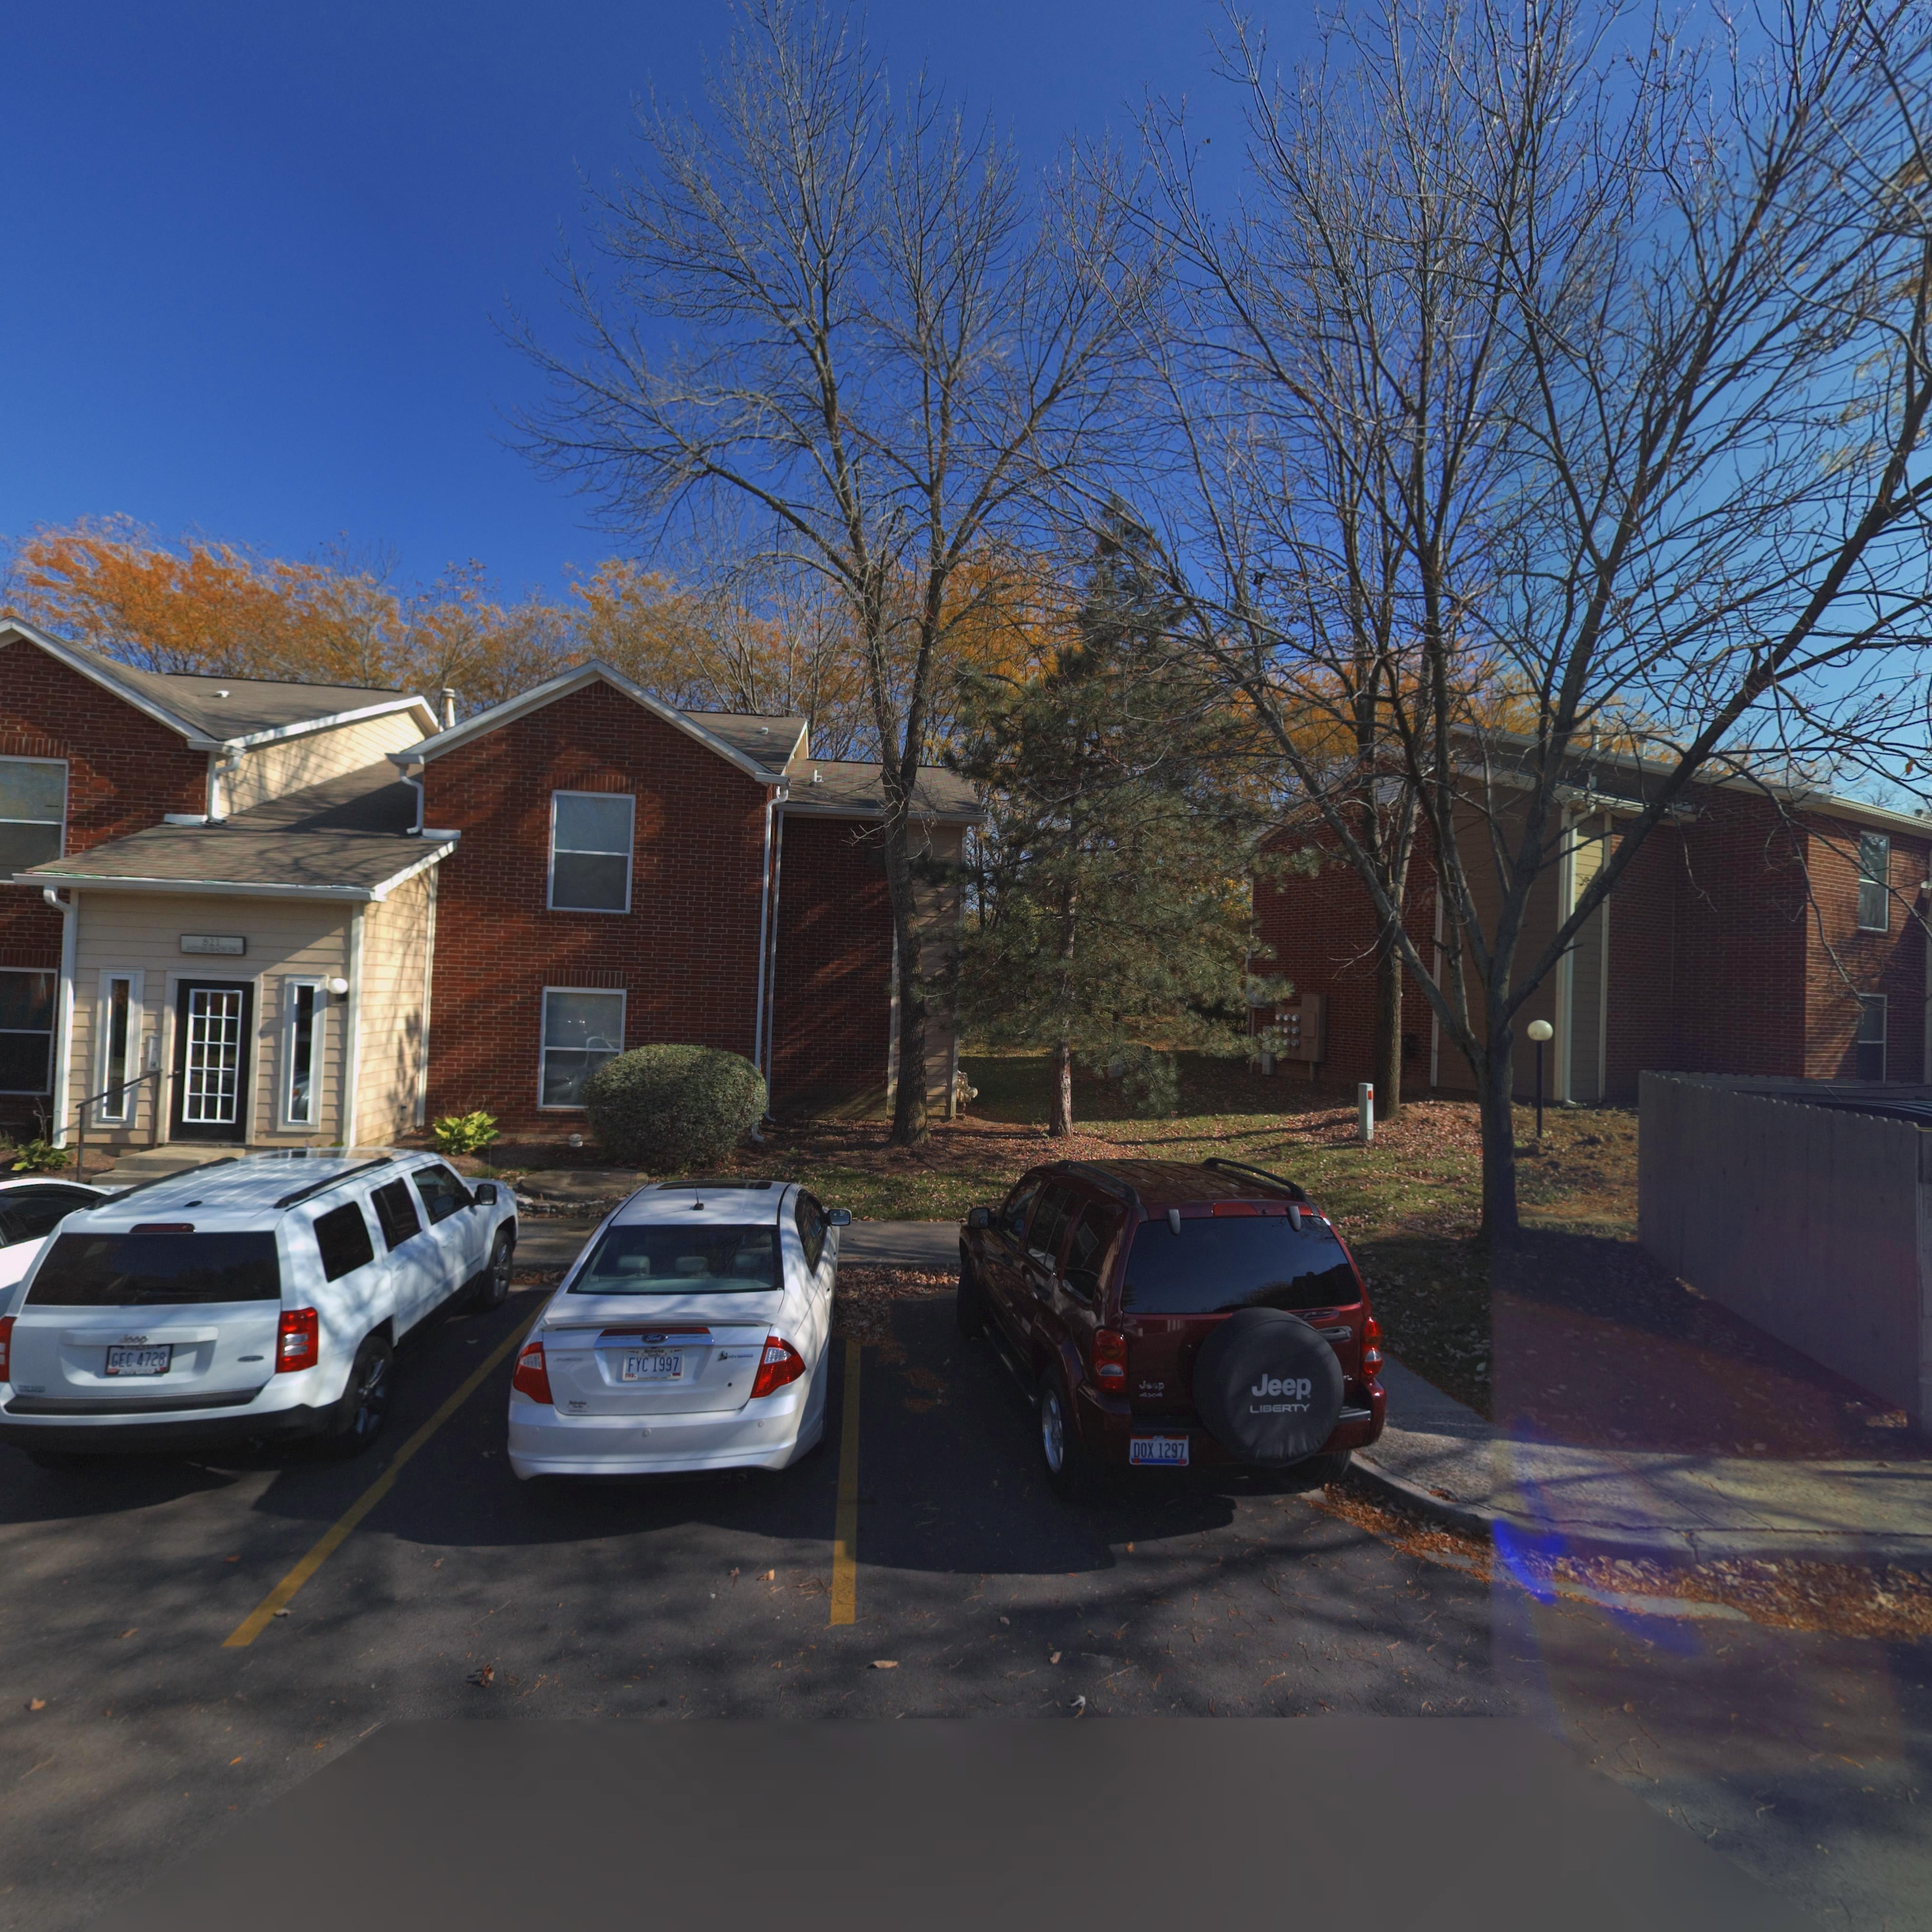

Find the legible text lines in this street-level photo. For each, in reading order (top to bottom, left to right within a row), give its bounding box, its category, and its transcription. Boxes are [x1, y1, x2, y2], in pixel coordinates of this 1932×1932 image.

[201, 935, 222, 948] StreetNumber: 821
[117, 1332, 150, 1347] None: Jeep
[109, 1349, 168, 1370] None: GEC 4728
[626, 1354, 682, 1375] None: FYC 1997
[1138, 1378, 1166, 1392] None: Jeep
[1249, 1370, 1314, 1403] None: Jeep
[1138, 1390, 1165, 1400] None: 4x4
[1248, 1401, 1313, 1416] None: LIBERTY
[1132, 1439, 1188, 1461] None: DOX 1297